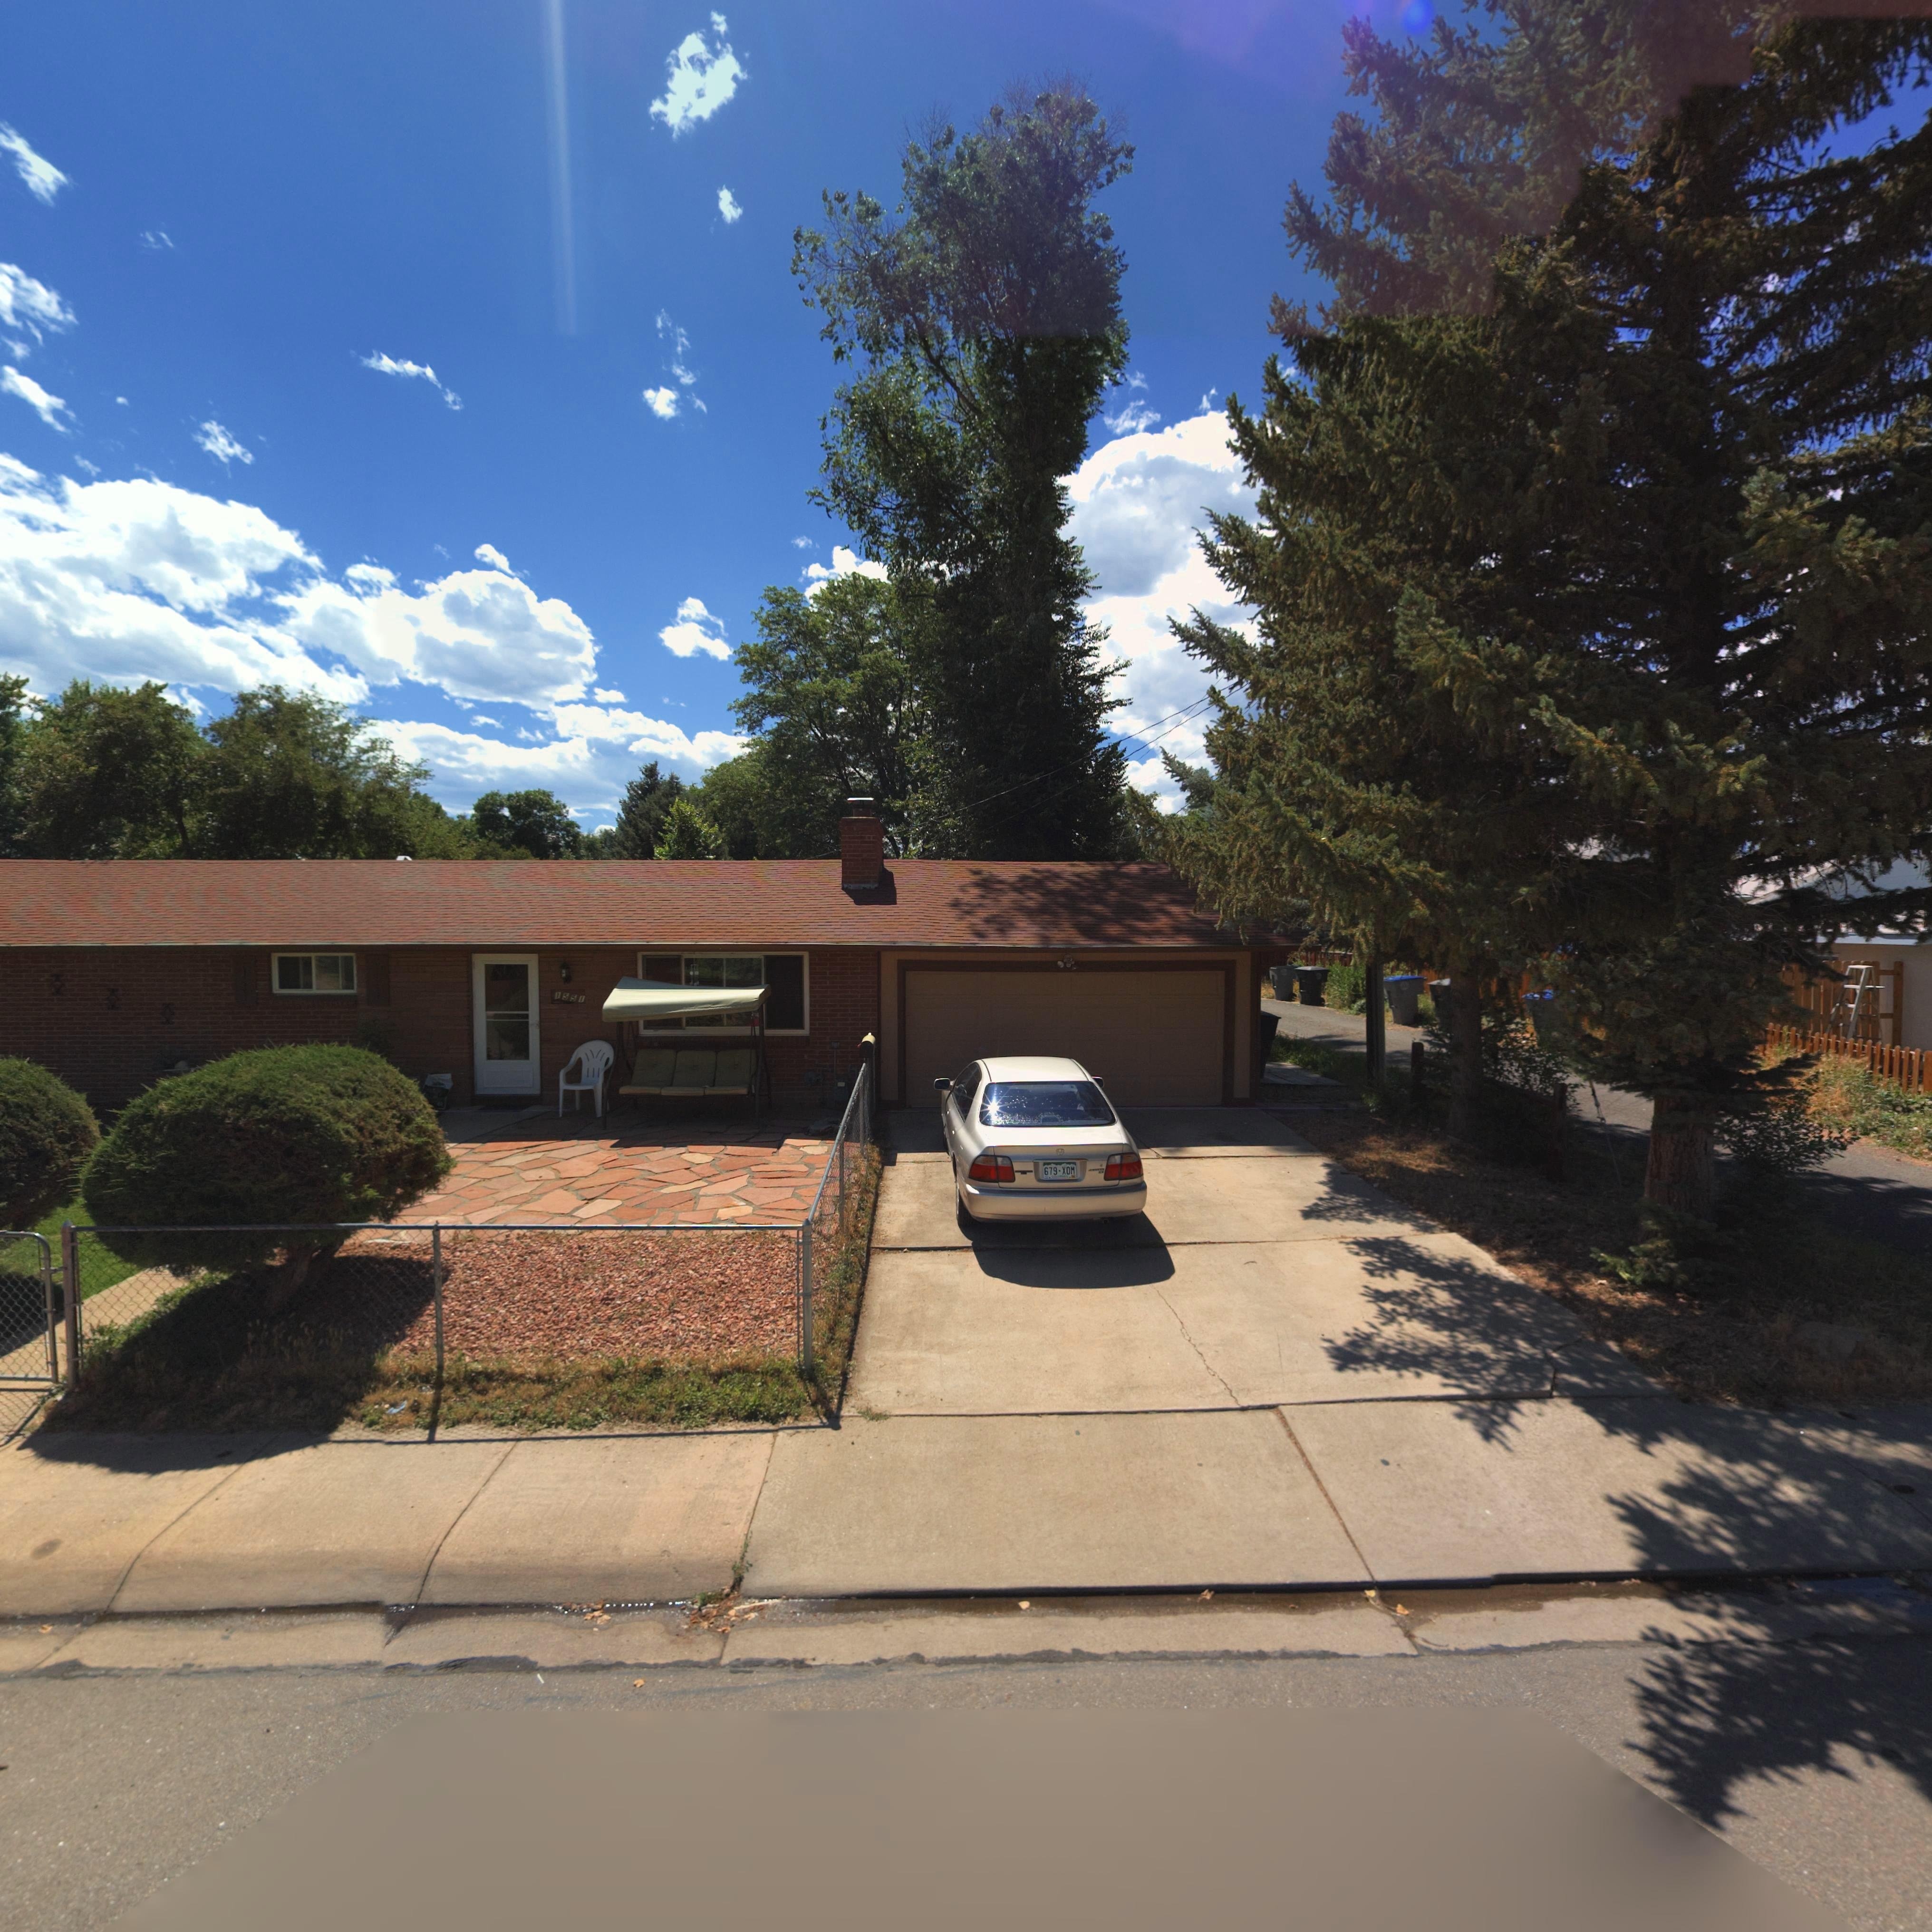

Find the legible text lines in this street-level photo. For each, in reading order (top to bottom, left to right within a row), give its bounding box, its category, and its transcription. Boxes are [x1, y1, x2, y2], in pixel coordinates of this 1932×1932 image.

[556, 992, 584, 1002] StreetNumber: 1551